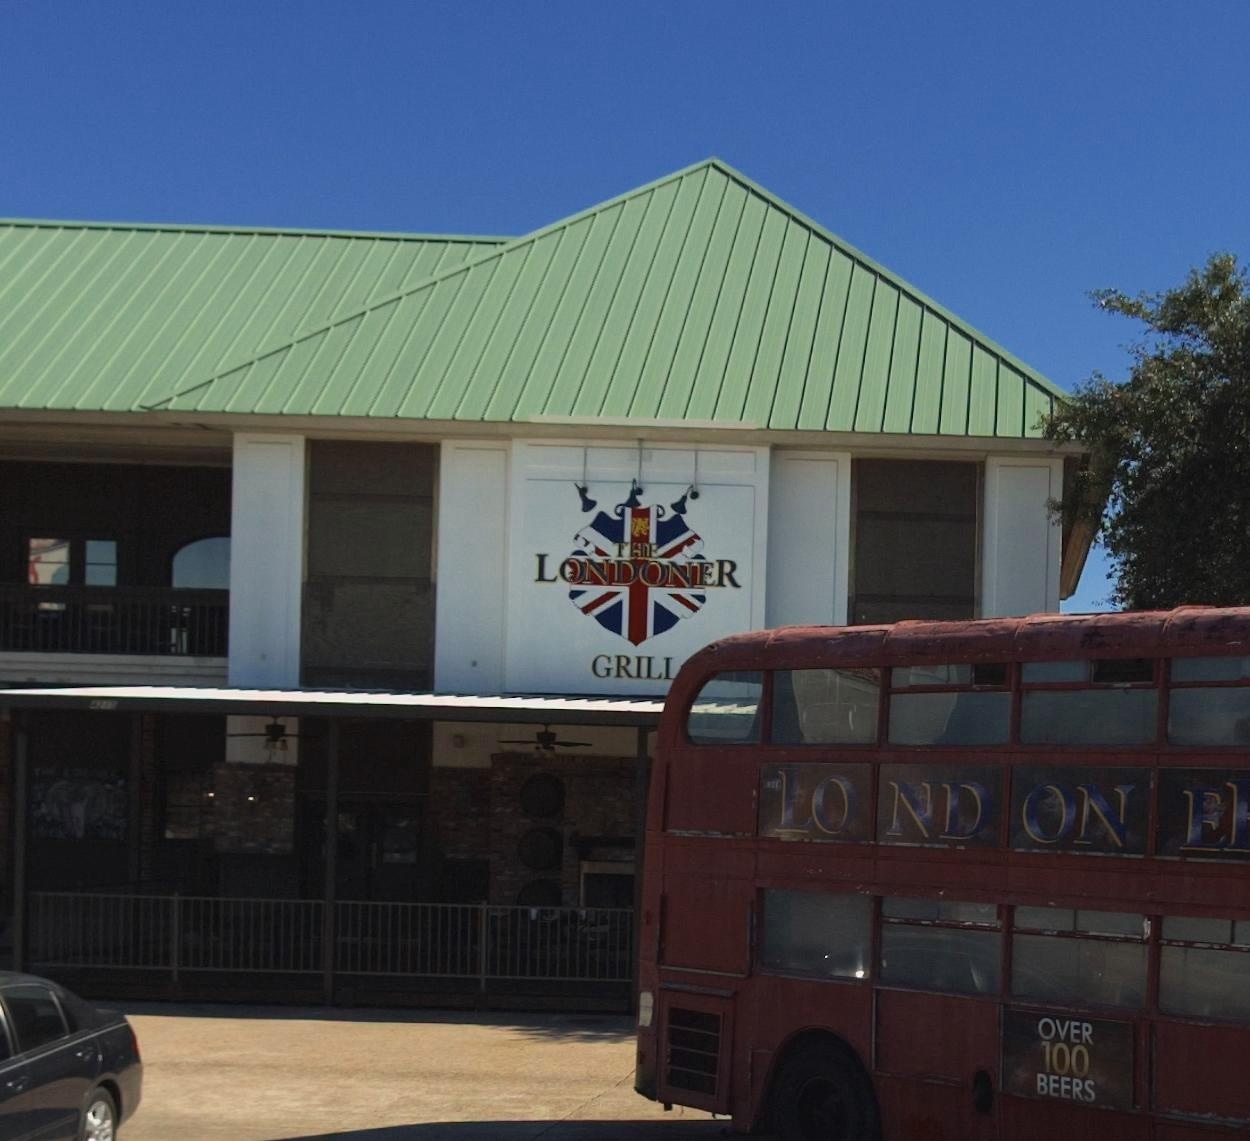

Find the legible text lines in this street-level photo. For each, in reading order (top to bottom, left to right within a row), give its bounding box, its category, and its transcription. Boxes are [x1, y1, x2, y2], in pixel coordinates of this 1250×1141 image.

[609, 538, 664, 561] BusinessName: THE
[531, 551, 744, 591] BusinessName: LONDONER
[589, 651, 665, 684] BusinessName: GRIL
[87, 699, 121, 711] StreetNumber: 4**5
[769, 761, 1237, 862] BusinessName: LONDONE
[1035, 1014, 1096, 1047] None: OVER
[1039, 1038, 1091, 1081] None: 100
[1035, 1070, 1098, 1105] None: BEERS